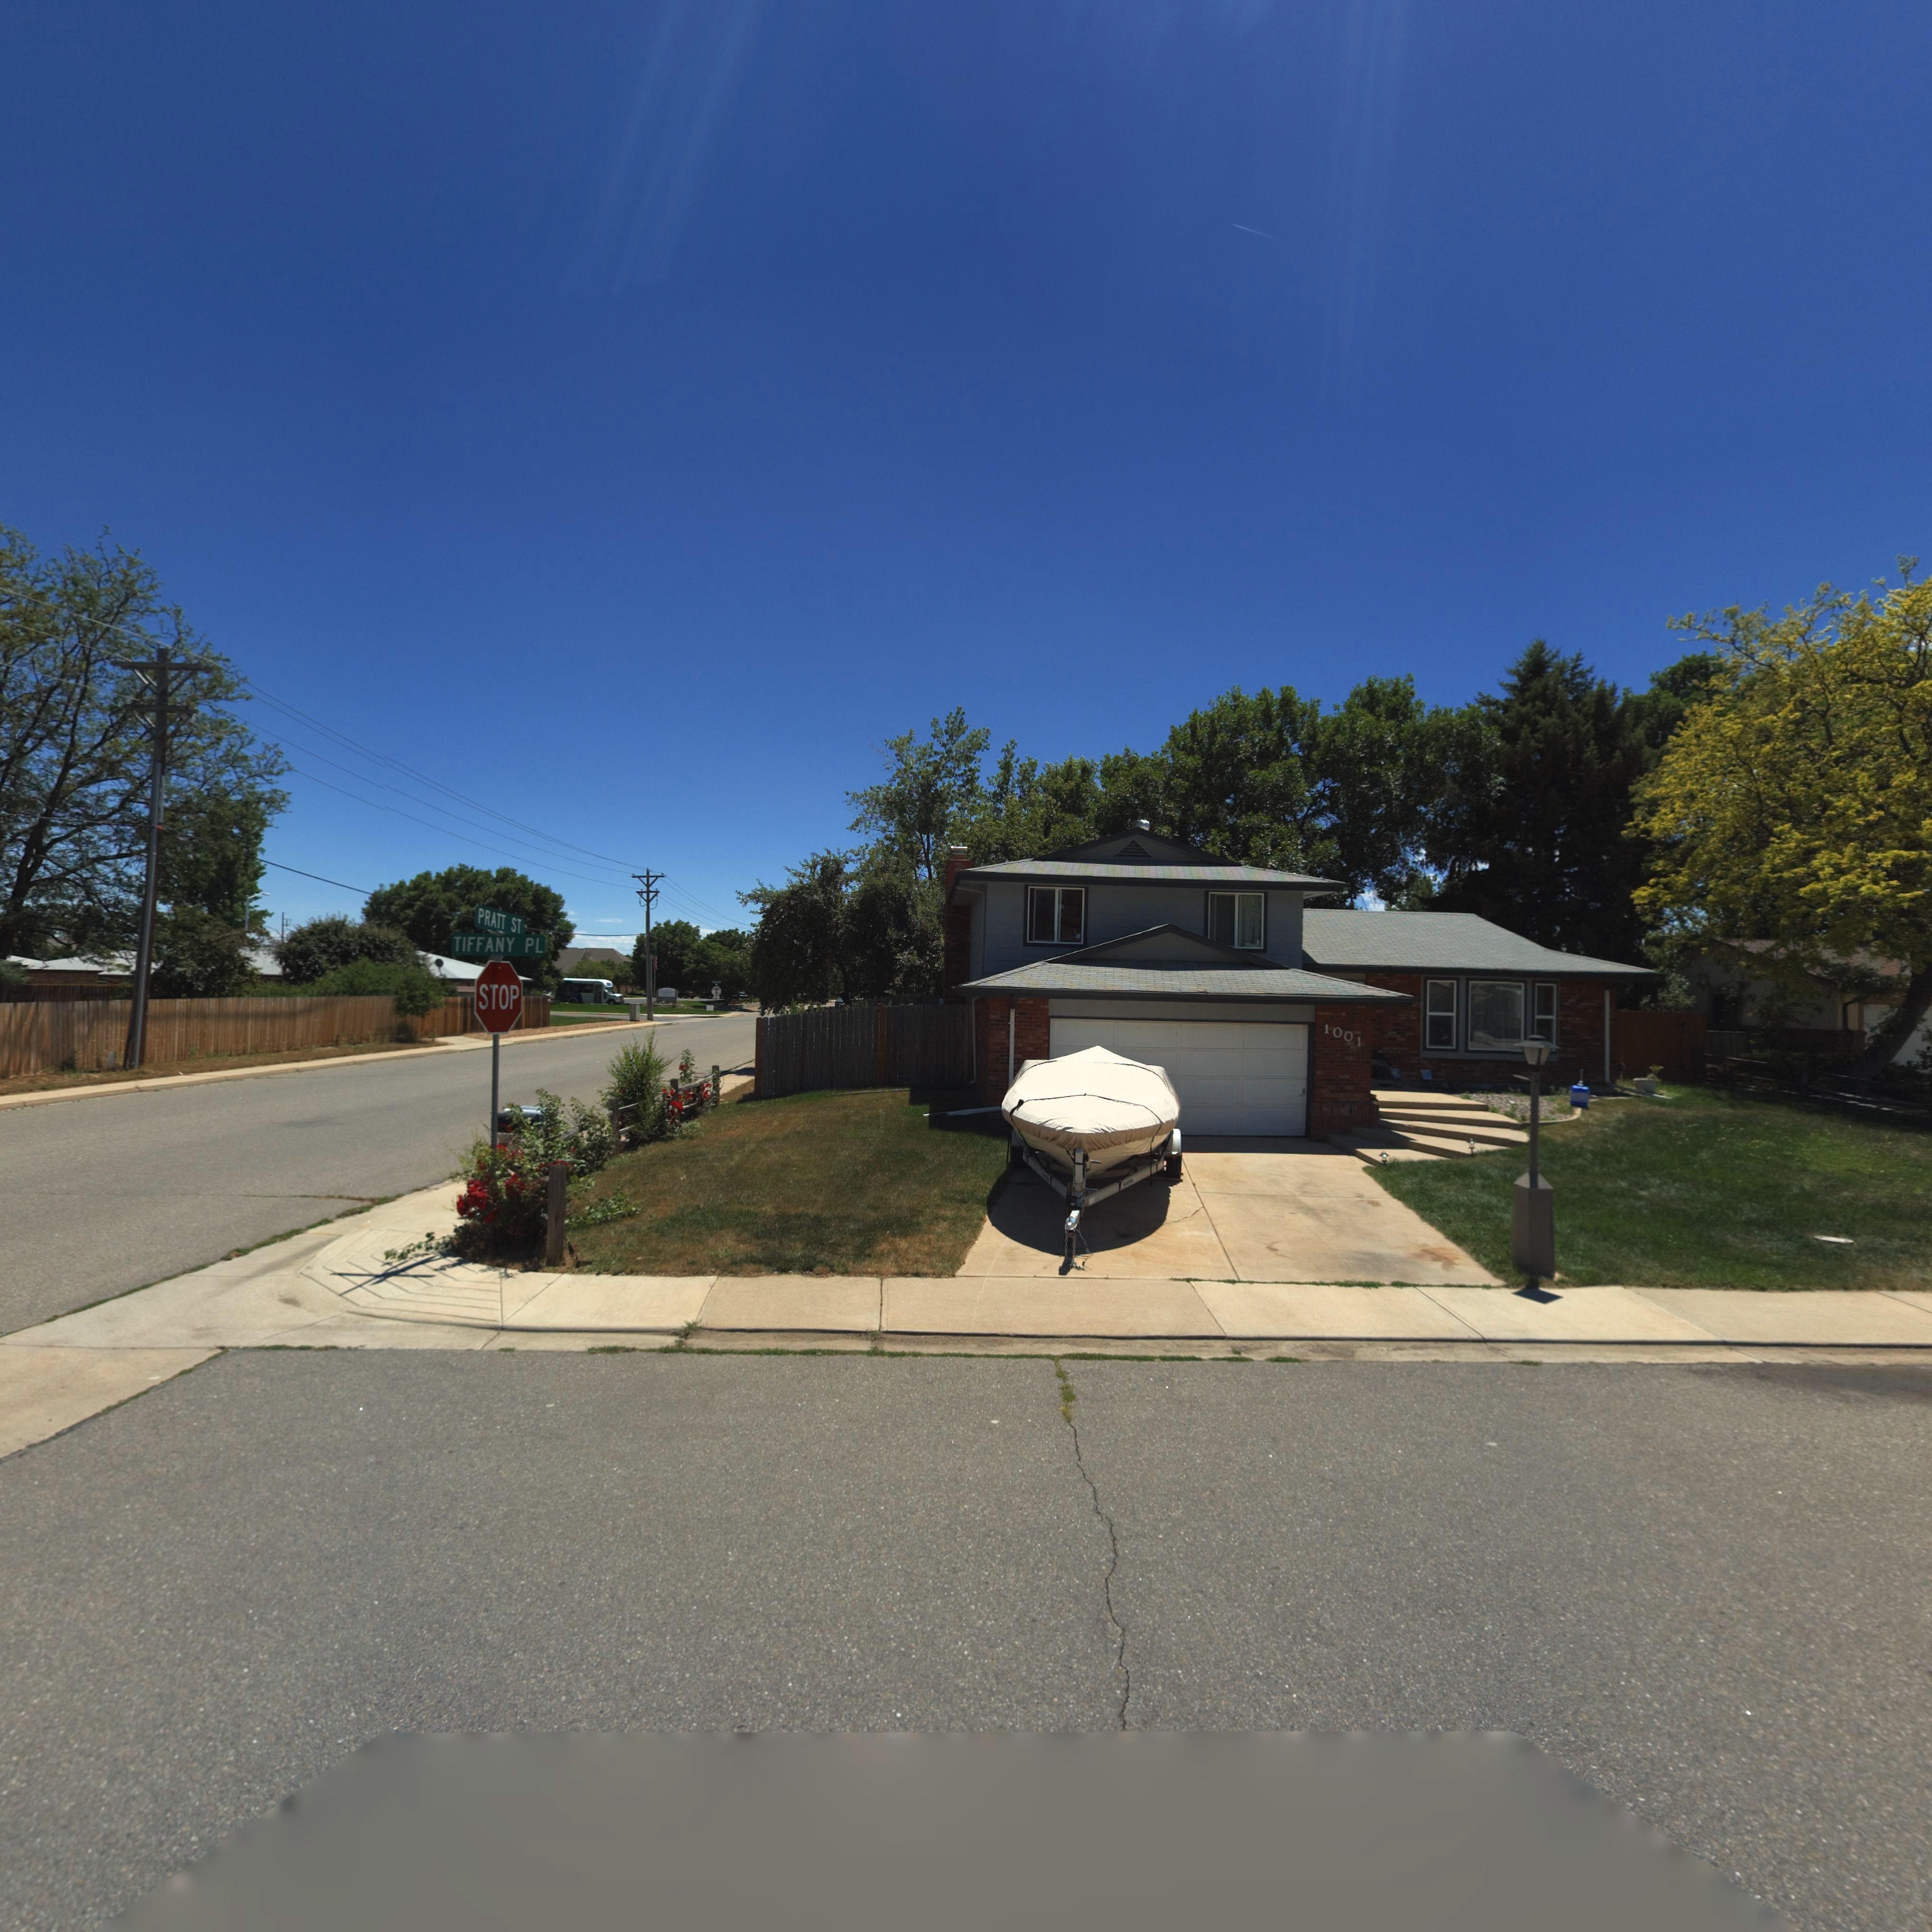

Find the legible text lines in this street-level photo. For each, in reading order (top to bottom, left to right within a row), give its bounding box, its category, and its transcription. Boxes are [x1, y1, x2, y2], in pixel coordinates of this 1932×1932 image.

[477, 907, 522, 934] StreetName: PRATT ST
[453, 936, 543, 954] StreetName: TIFFANY PL
[1323, 1023, 1362, 1047] StreetNumber: 1001